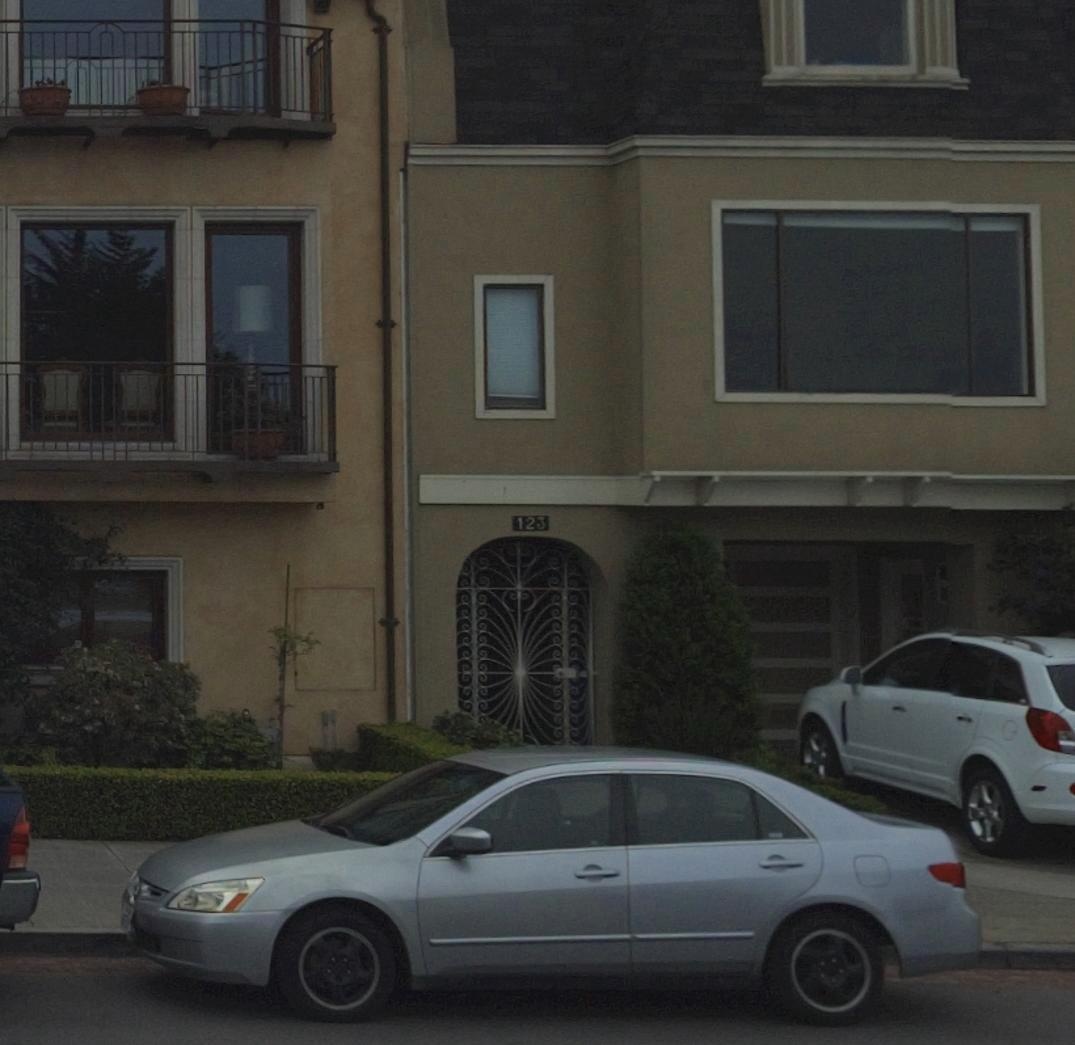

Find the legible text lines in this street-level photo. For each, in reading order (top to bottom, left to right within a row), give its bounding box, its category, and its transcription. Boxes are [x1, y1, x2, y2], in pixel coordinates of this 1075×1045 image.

[517, 516, 547, 530] StreetNumber: 123